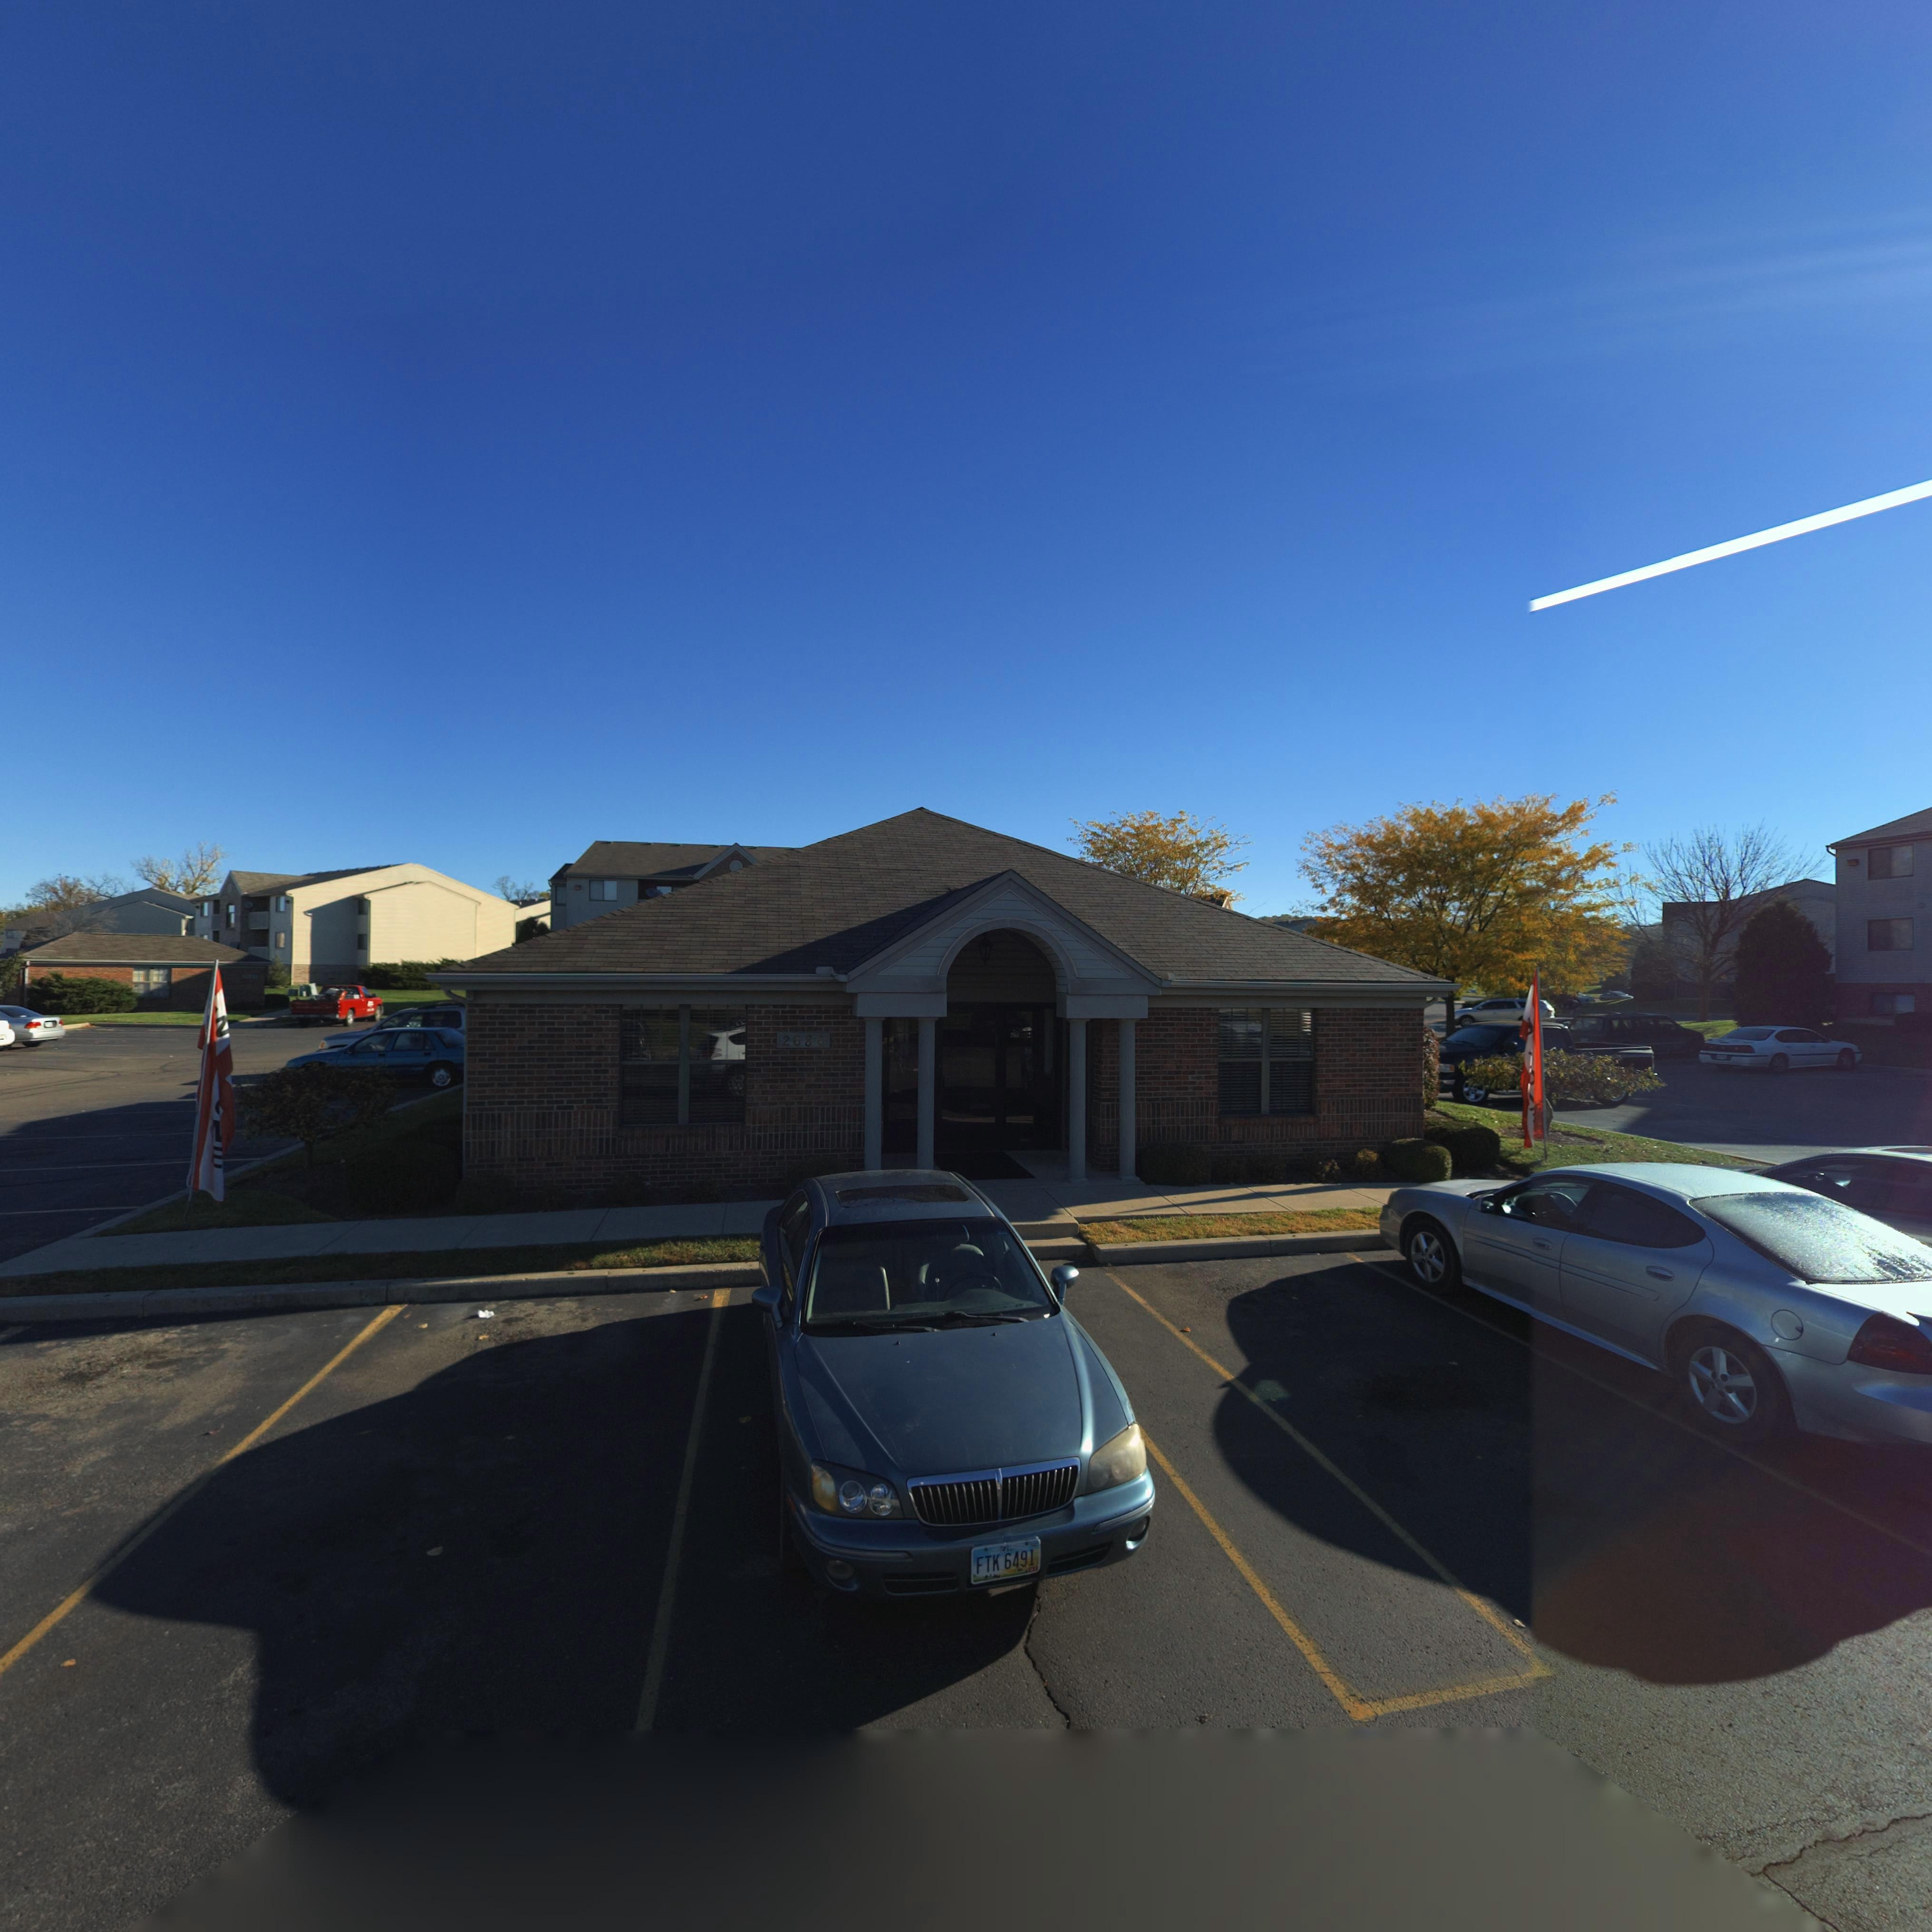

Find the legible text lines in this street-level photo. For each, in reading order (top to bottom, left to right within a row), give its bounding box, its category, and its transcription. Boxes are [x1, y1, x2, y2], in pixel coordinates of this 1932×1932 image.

[781, 1033, 825, 1048] StreetNumber: 2686